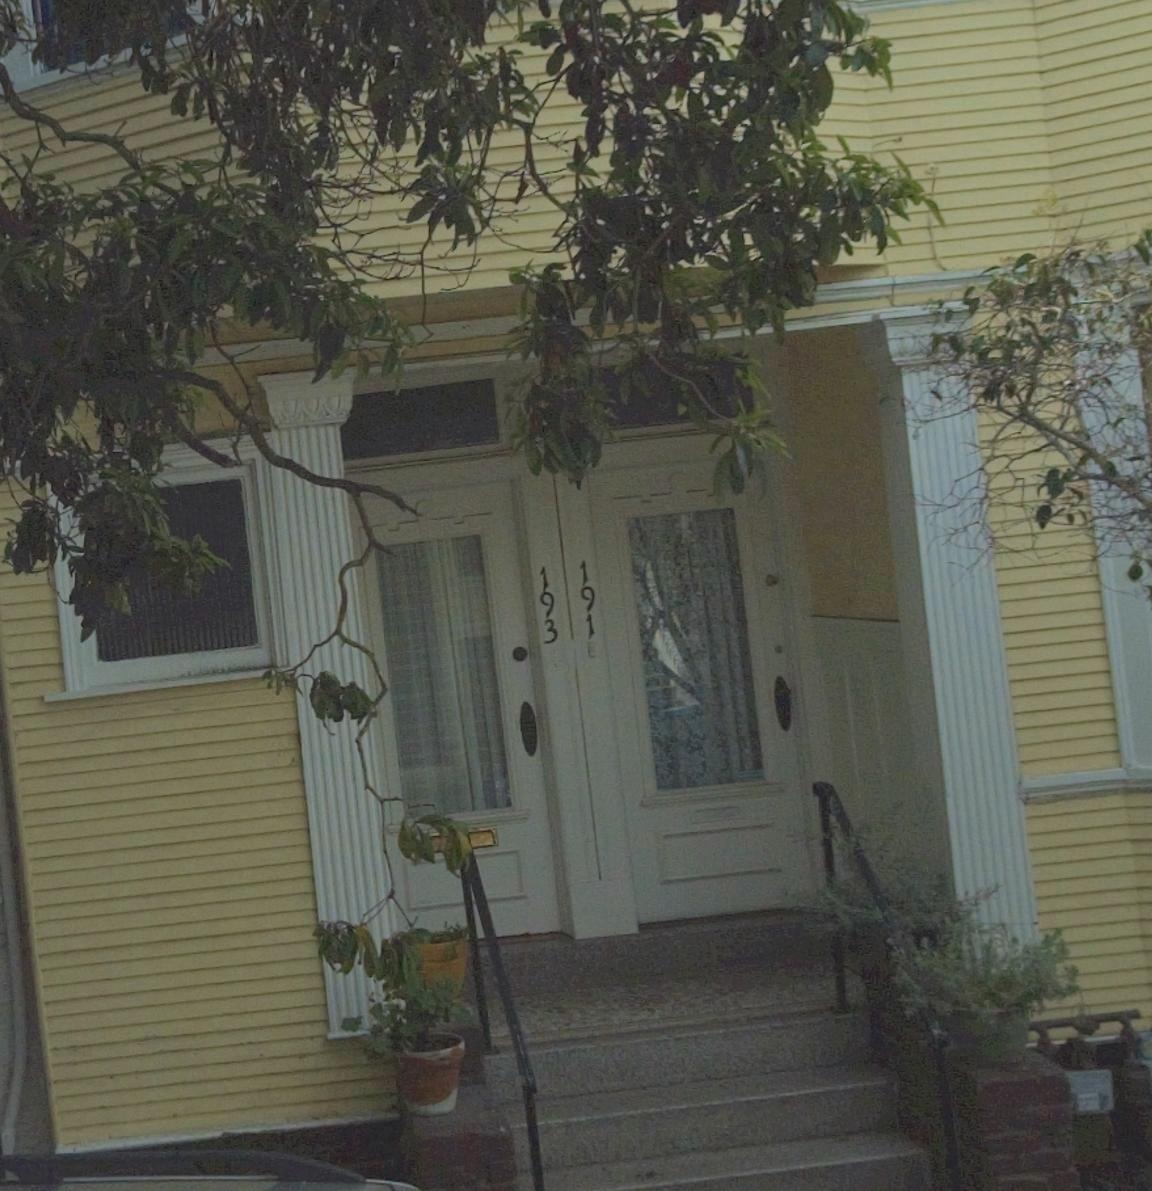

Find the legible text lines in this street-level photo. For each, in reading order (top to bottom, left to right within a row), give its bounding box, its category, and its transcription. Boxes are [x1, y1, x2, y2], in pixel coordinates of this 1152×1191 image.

[536, 563, 562, 649] StreetNumber: 193
[575, 554, 600, 643] StreetNumber: 191